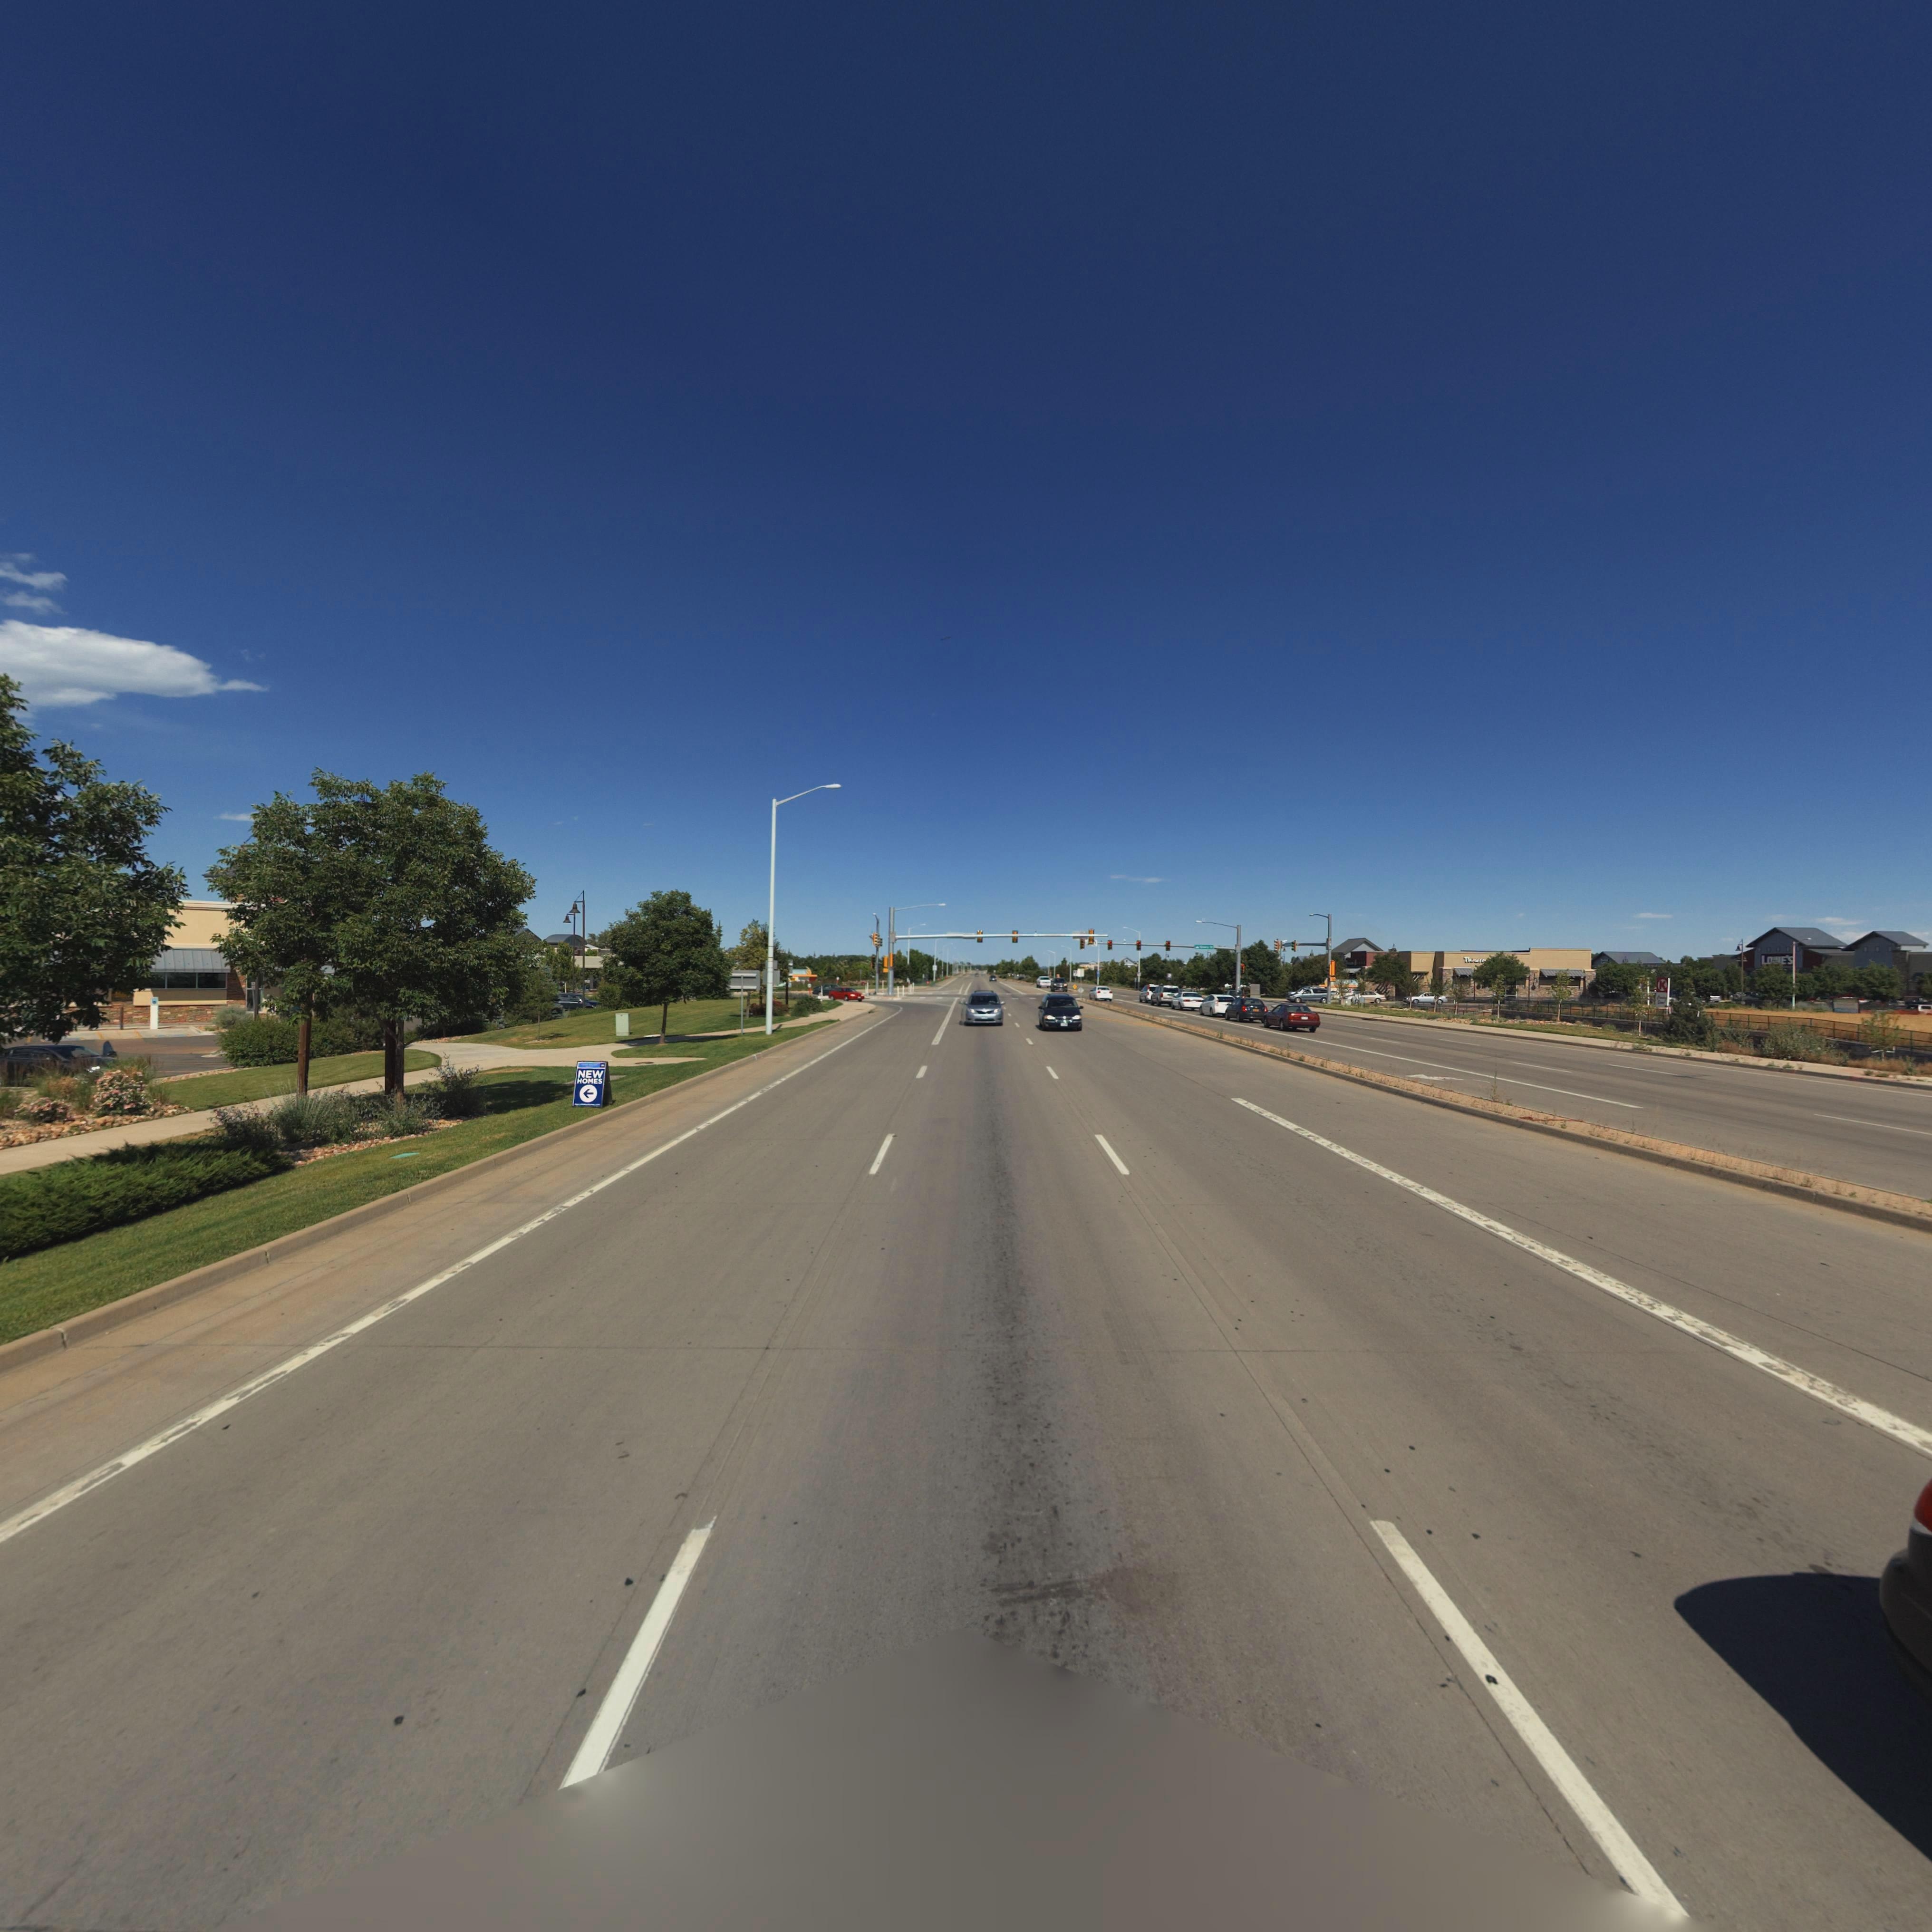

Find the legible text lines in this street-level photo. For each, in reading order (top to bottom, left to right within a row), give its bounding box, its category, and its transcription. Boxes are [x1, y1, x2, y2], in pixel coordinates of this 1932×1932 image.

[1463, 956, 1486, 962] BusinessName: Pan*r*
[1761, 955, 1793, 965] BusinessName: LOWE'S